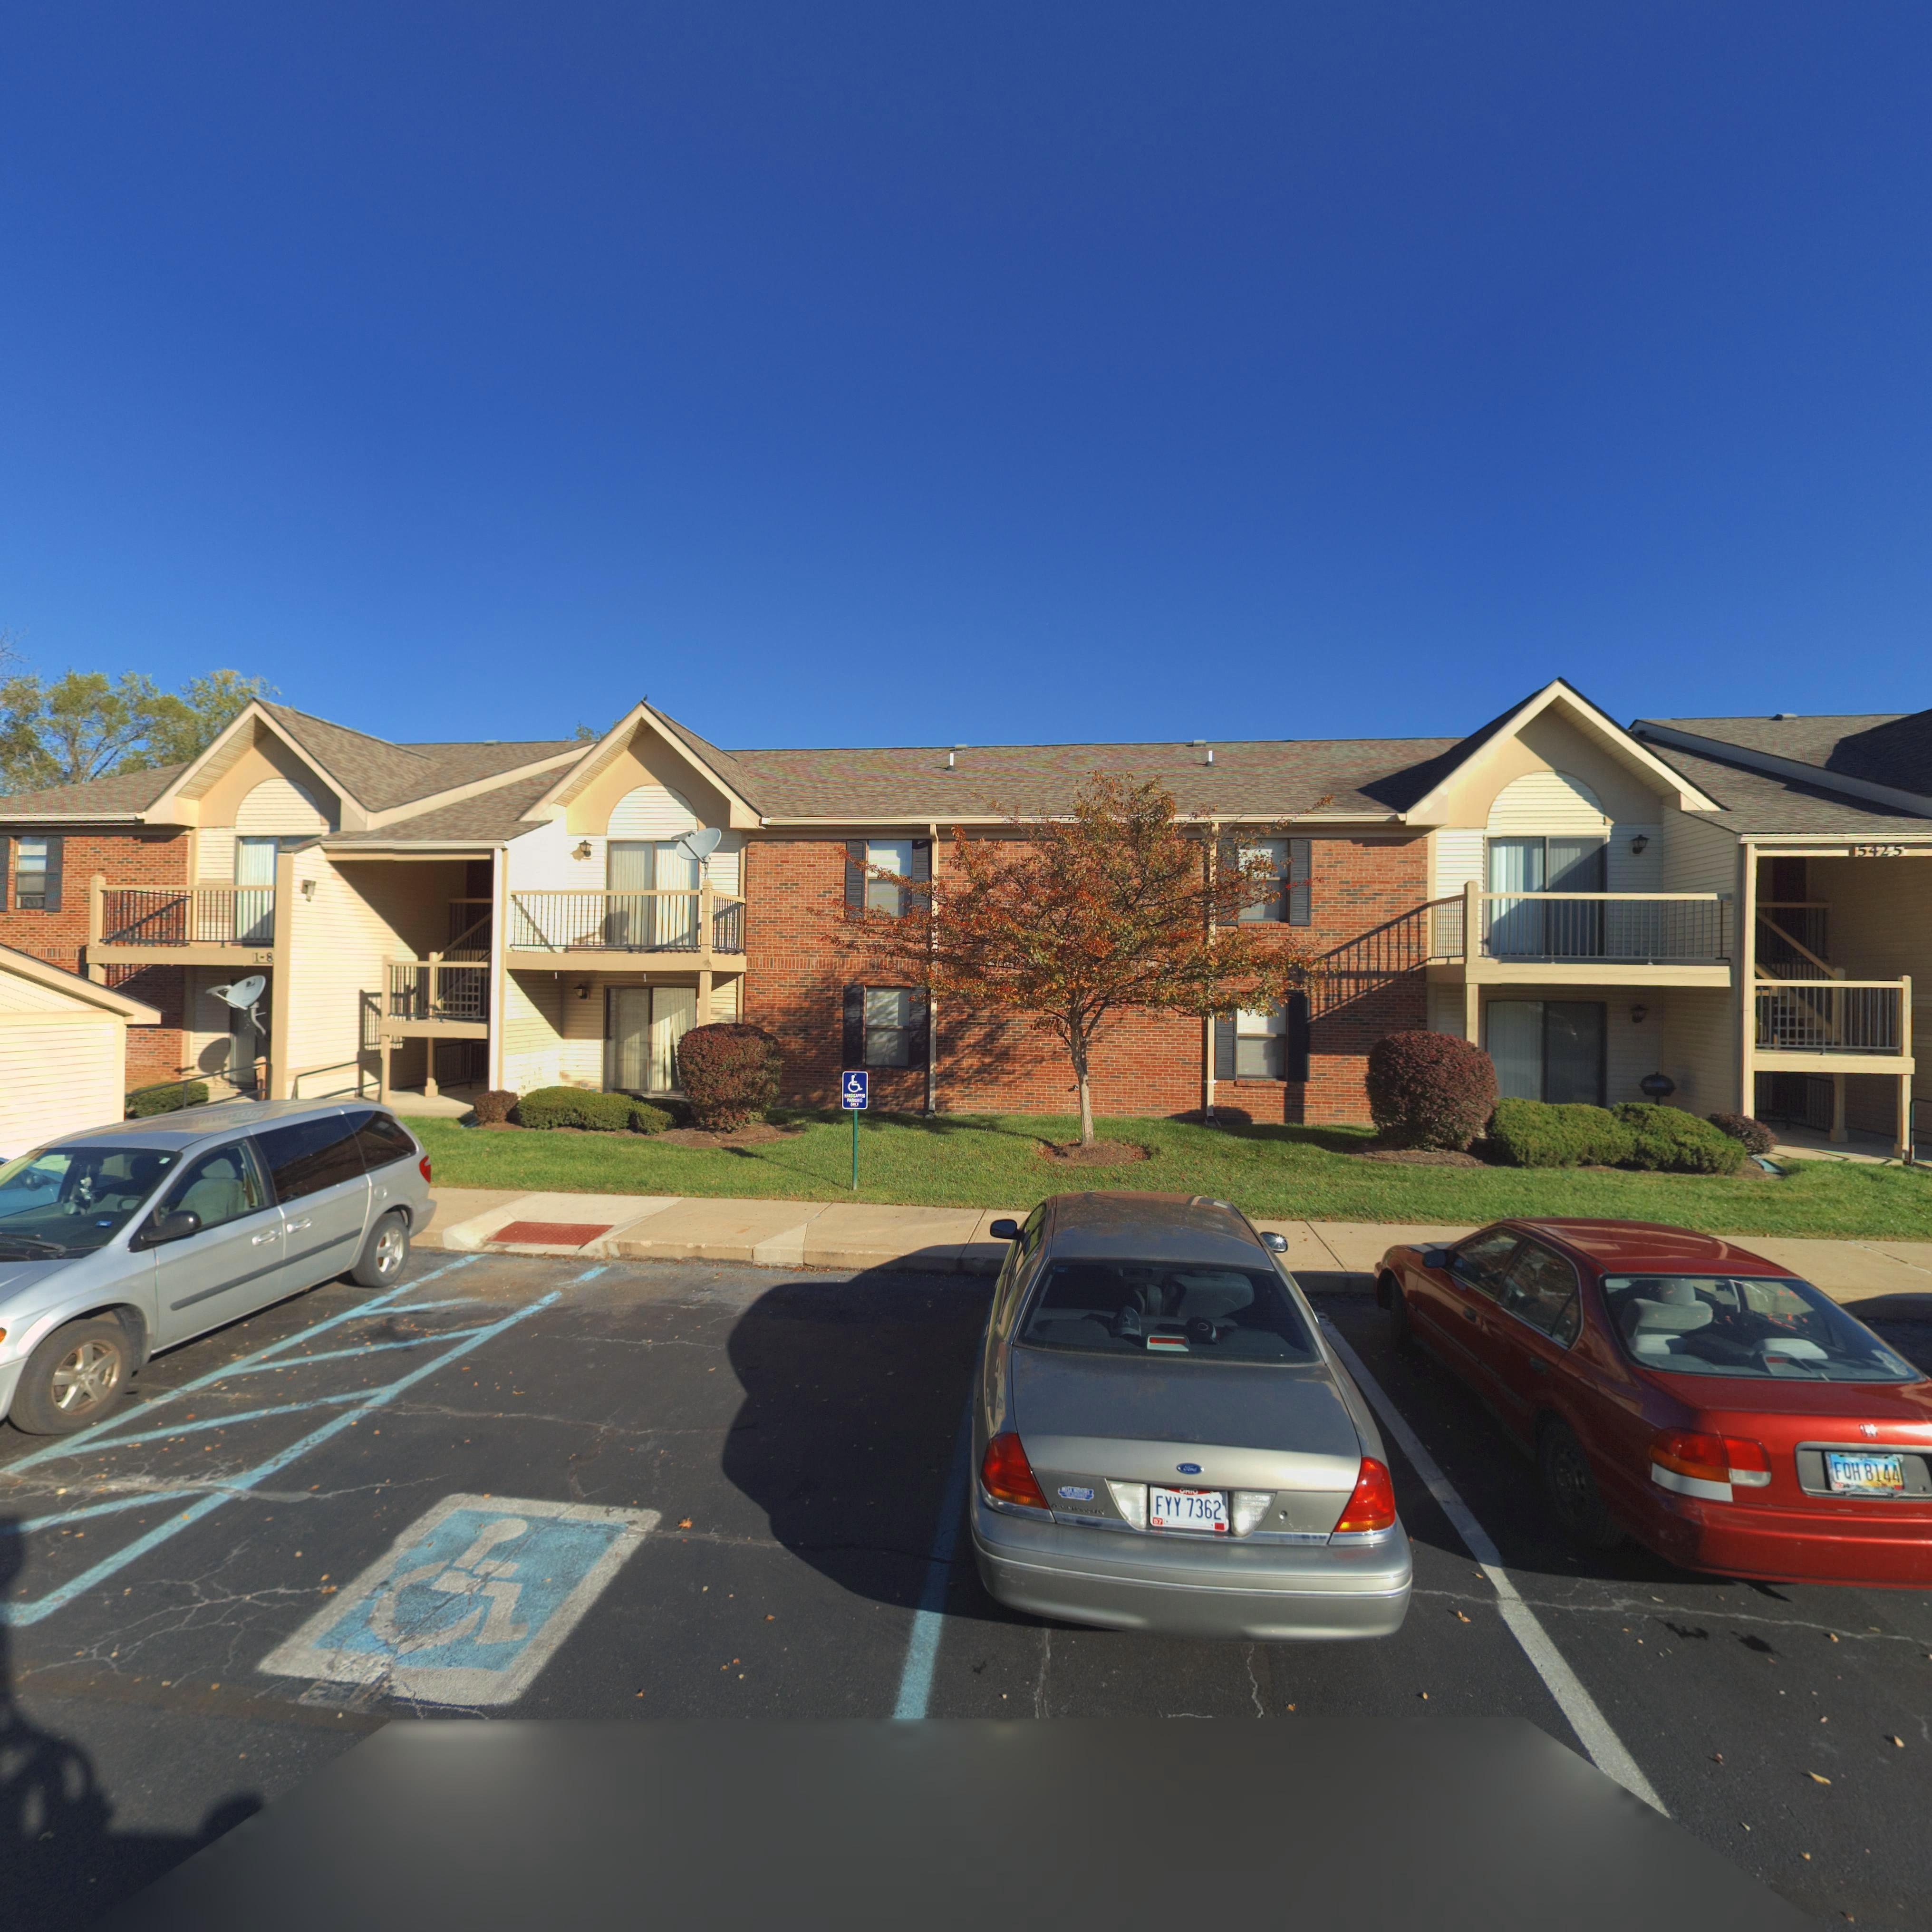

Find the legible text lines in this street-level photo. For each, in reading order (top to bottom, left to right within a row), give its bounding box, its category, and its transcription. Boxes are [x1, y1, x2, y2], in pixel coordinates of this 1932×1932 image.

[1857, 843, 1902, 858] StreetNumber: 5425
[254, 952, 273, 963] StreetNumber: 1-8